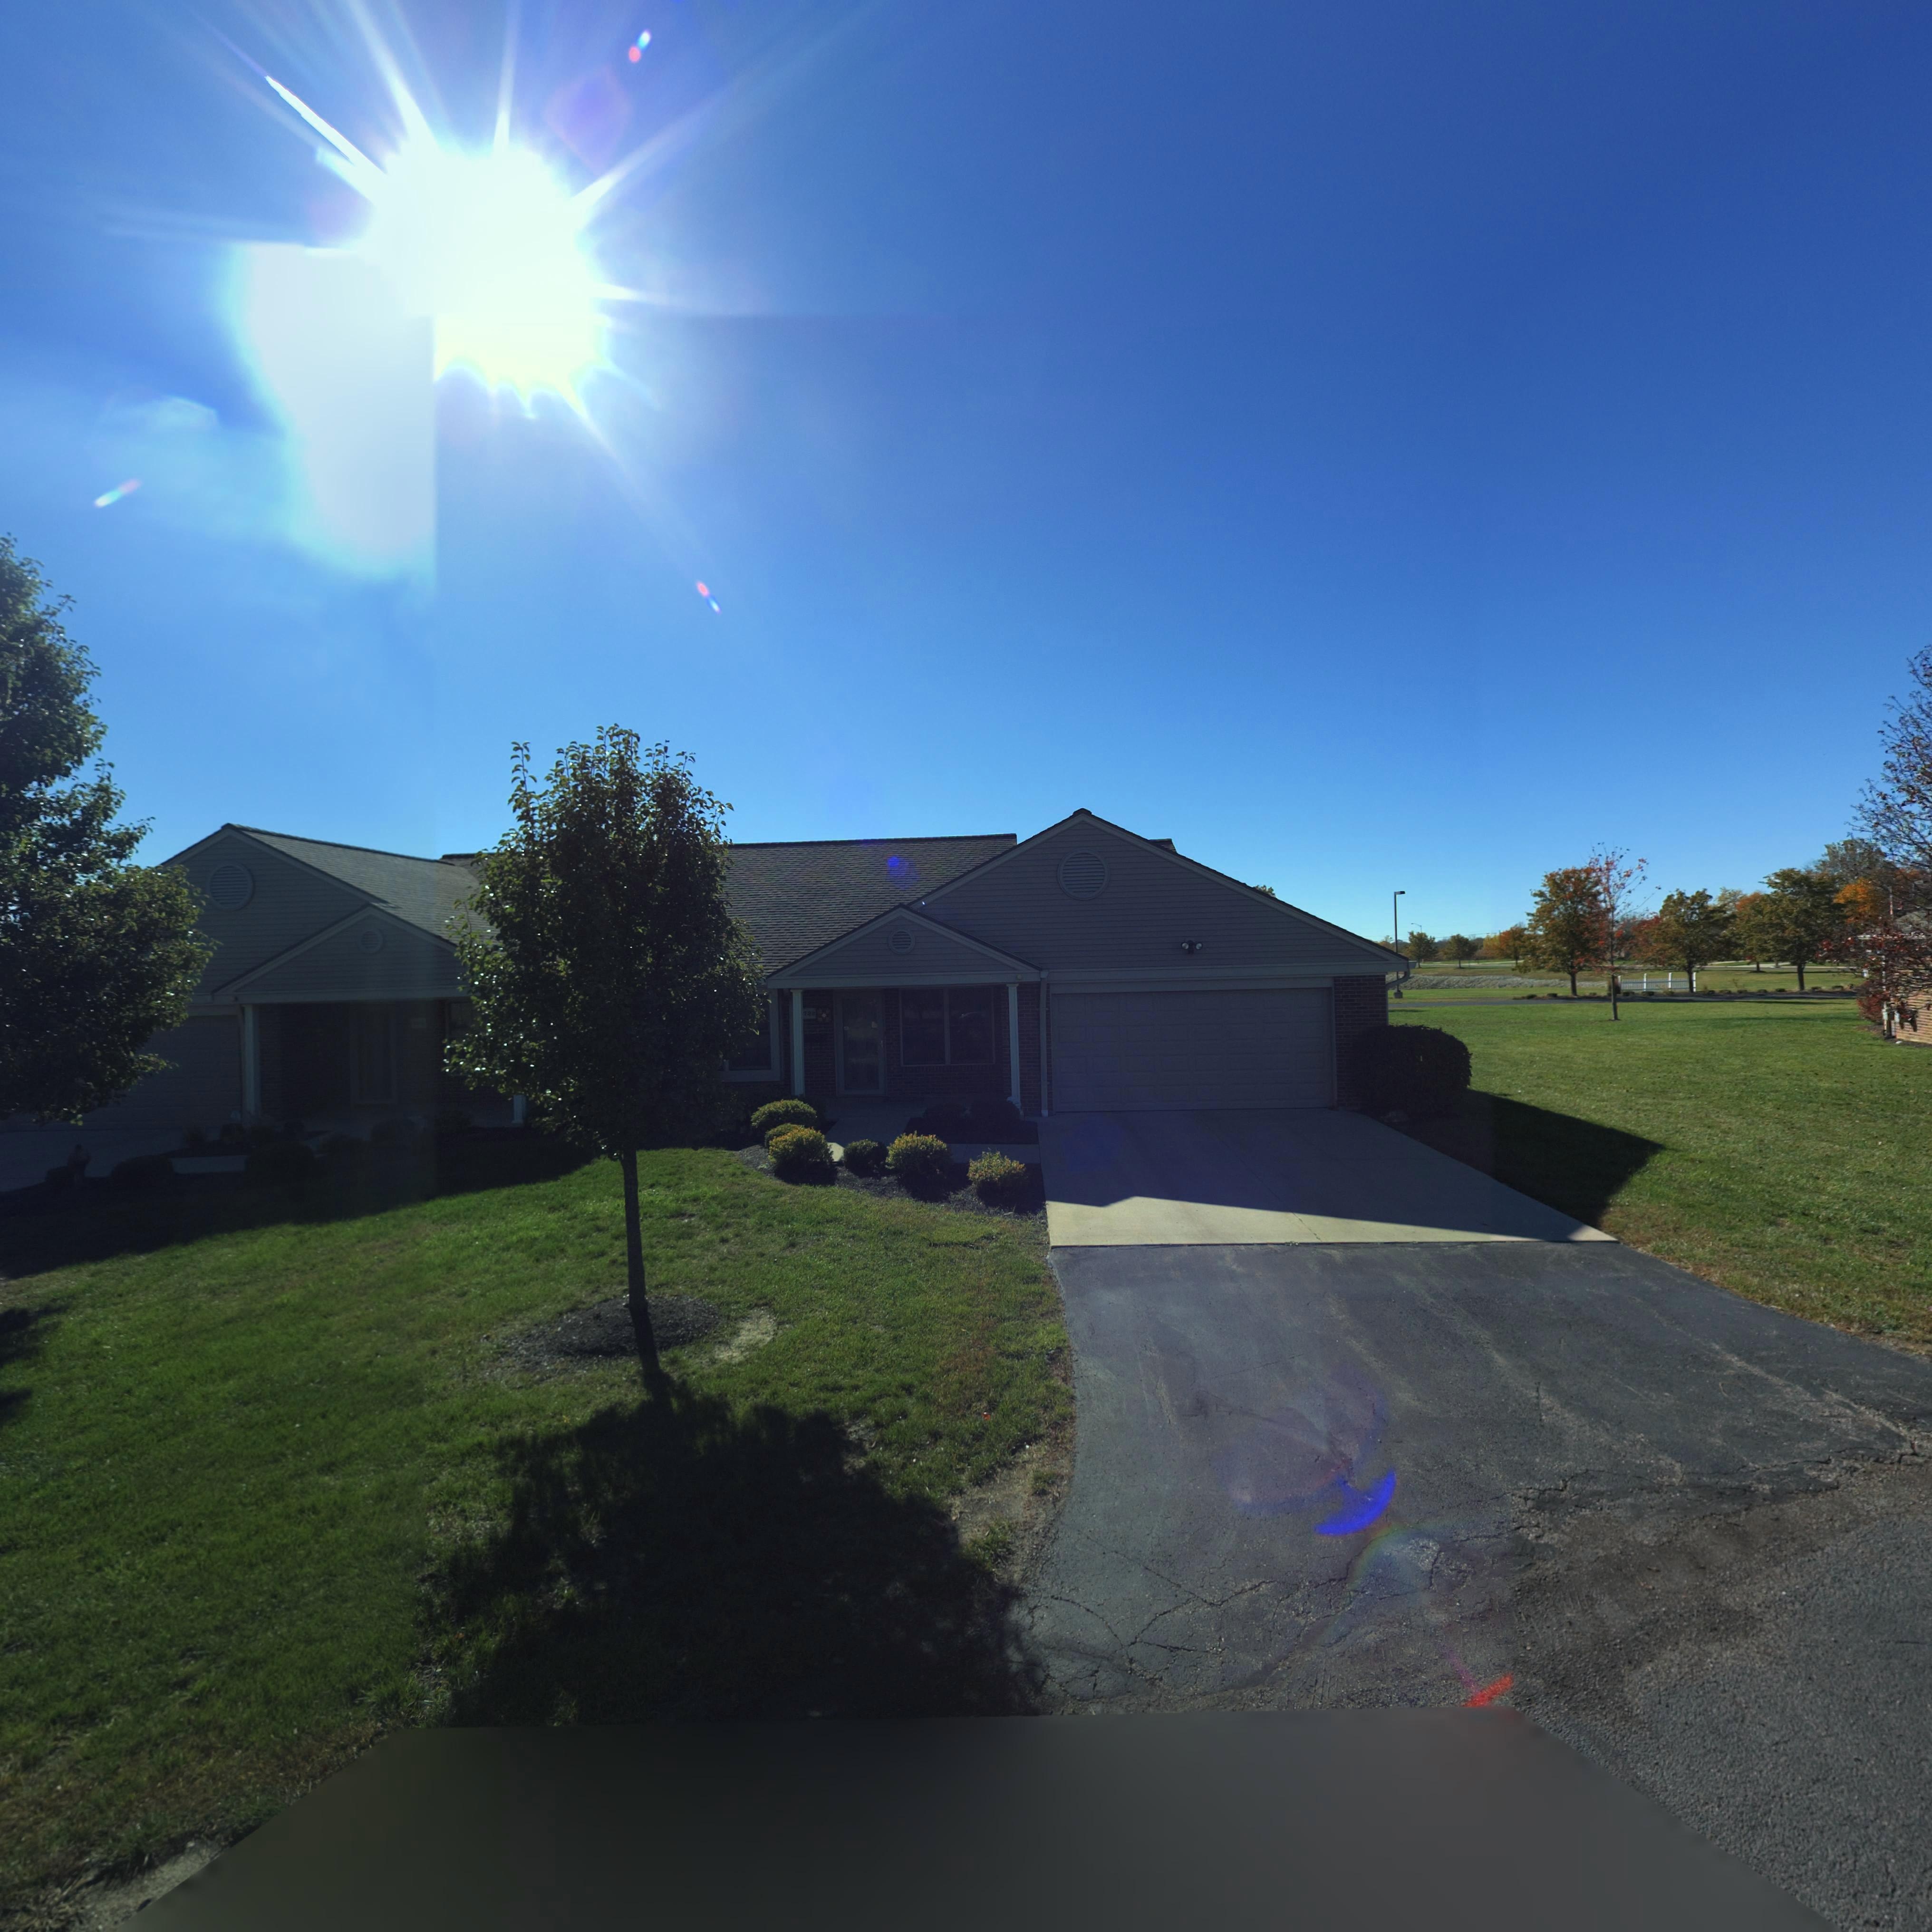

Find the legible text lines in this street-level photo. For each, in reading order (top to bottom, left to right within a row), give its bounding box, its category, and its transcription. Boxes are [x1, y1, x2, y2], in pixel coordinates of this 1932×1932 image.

[803, 1011, 815, 1016] StreetNumber: 722